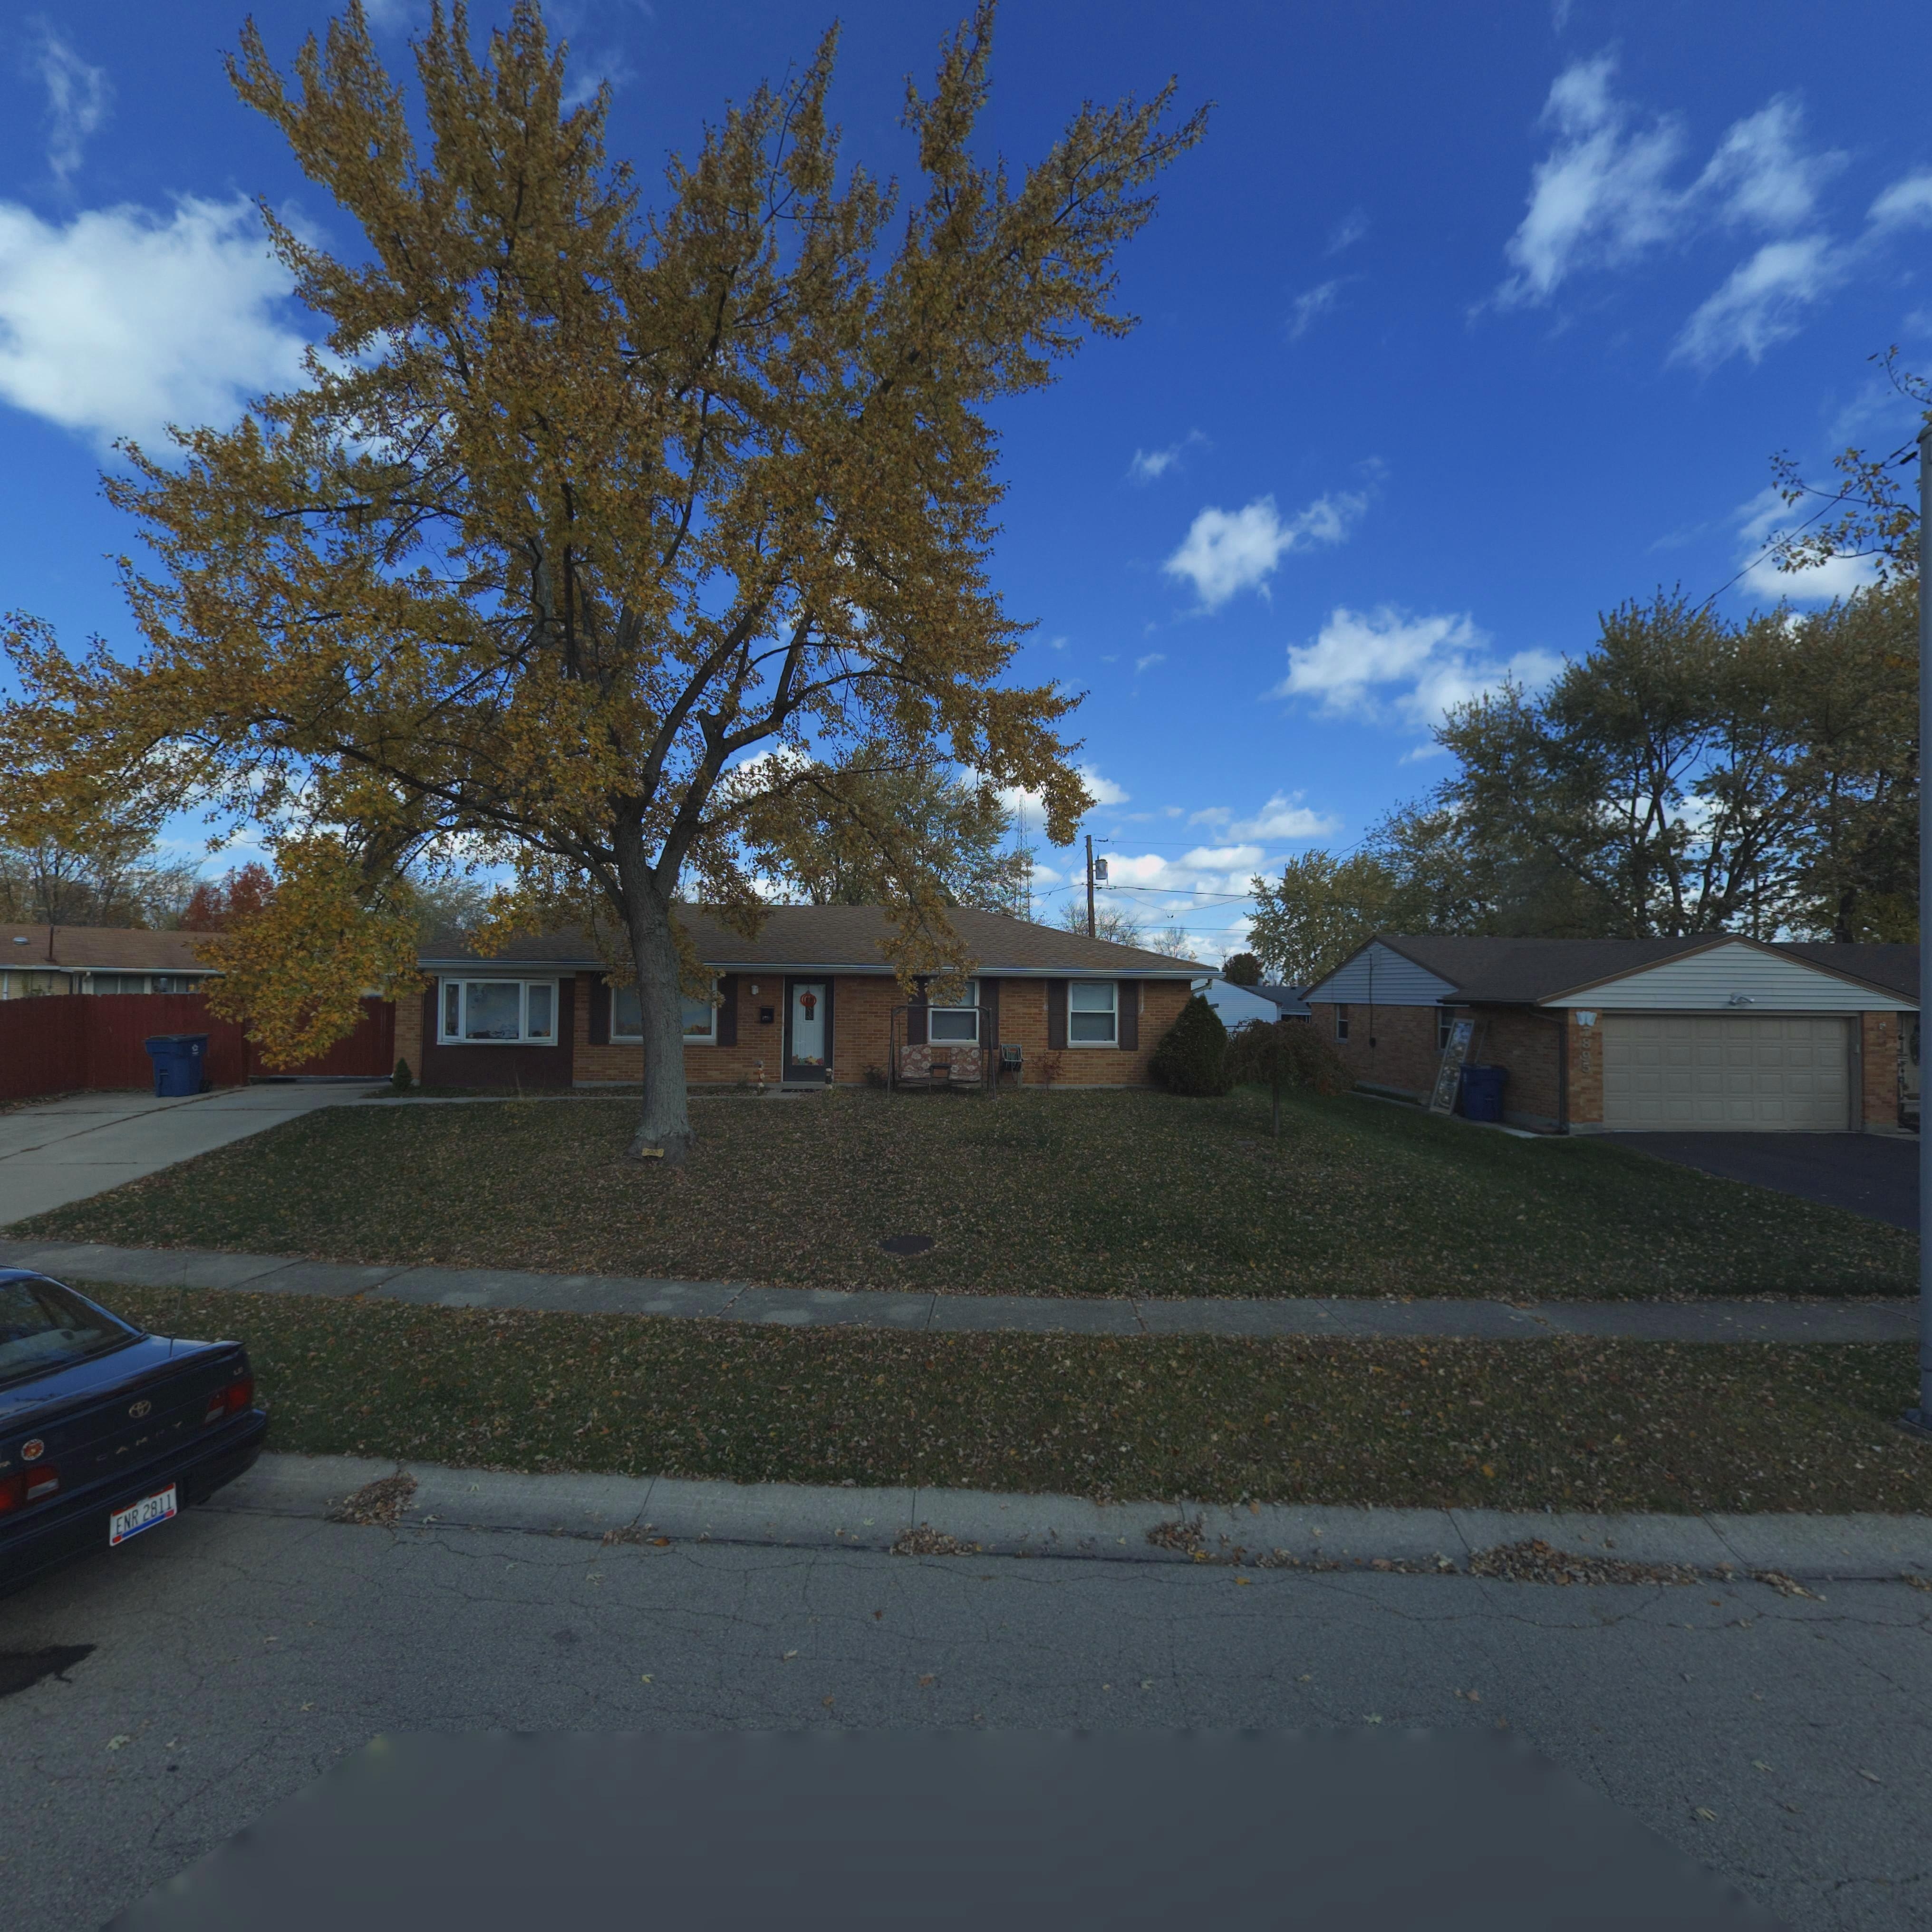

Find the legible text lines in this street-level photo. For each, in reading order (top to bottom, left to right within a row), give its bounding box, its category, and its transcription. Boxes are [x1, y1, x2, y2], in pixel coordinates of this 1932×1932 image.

[762, 1015, 772, 1021] StreetNumber: 7***
[1582, 1026, 1591, 1074] StreetNumber: 7895